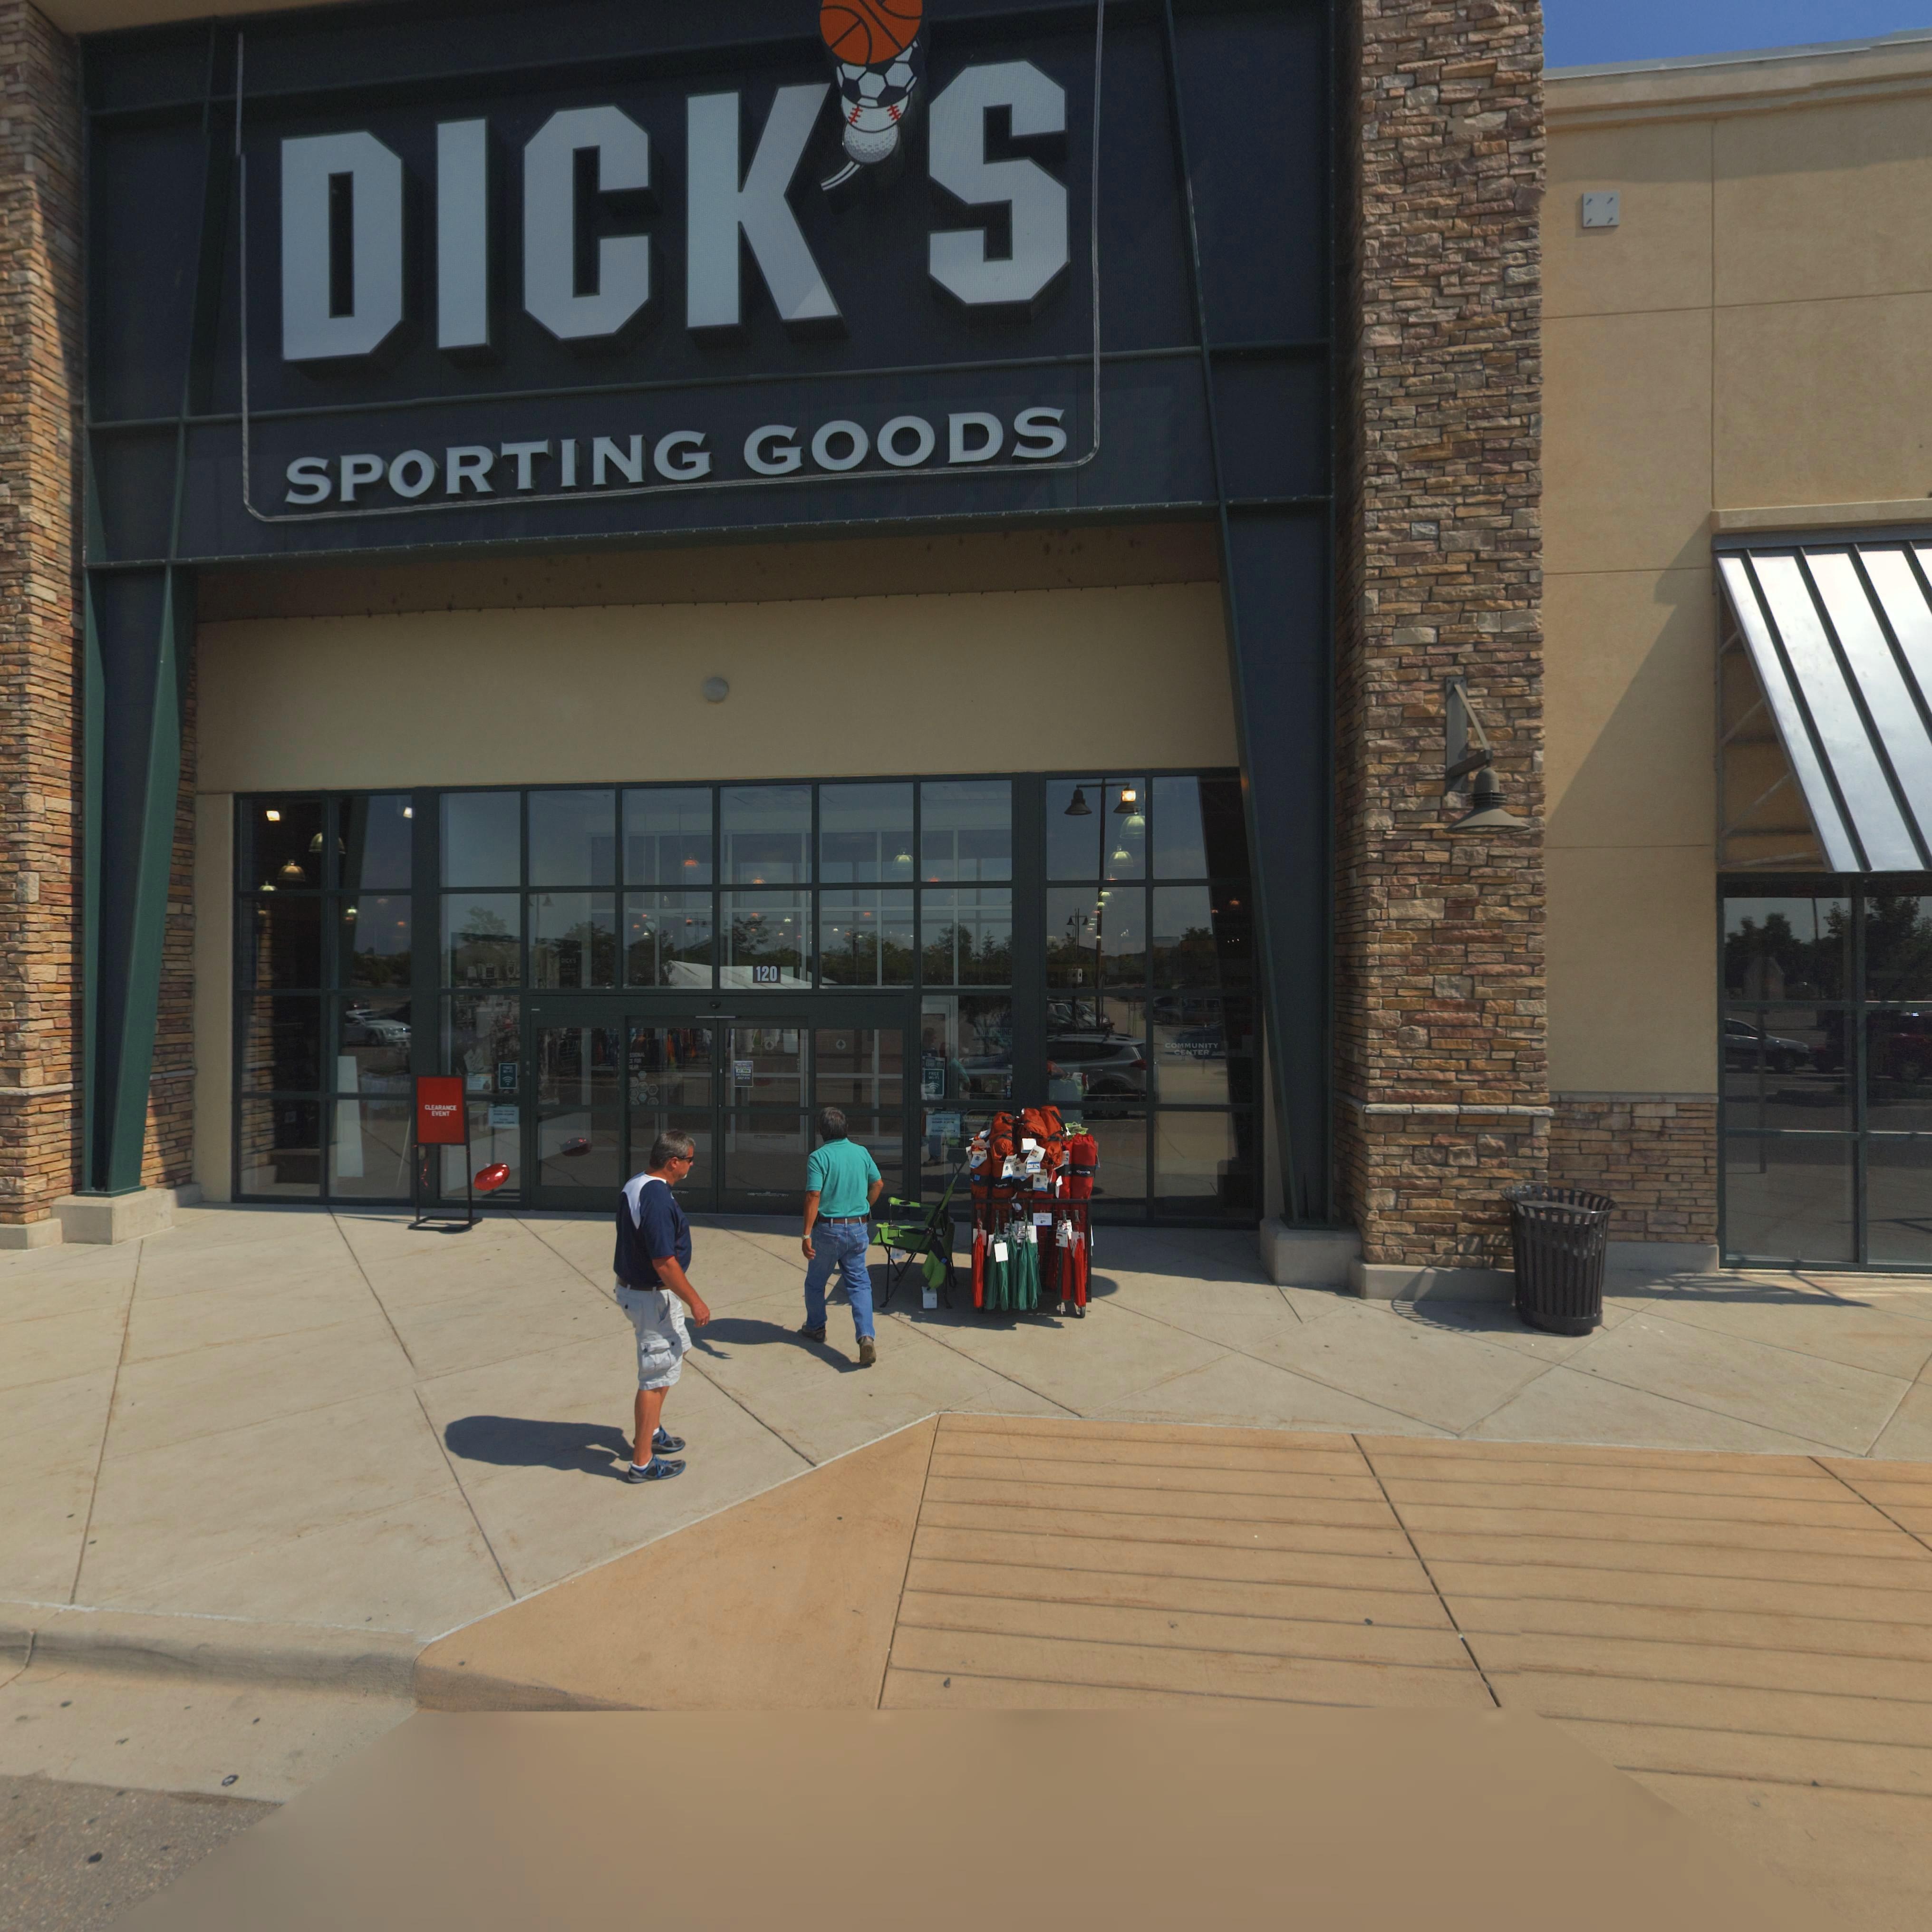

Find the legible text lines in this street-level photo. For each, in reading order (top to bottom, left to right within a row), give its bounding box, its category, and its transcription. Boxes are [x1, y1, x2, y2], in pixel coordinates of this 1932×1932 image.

[276, 53, 1074, 366] BusinessName: DICK'S
[755, 966, 777, 982] StreetNumber: 120